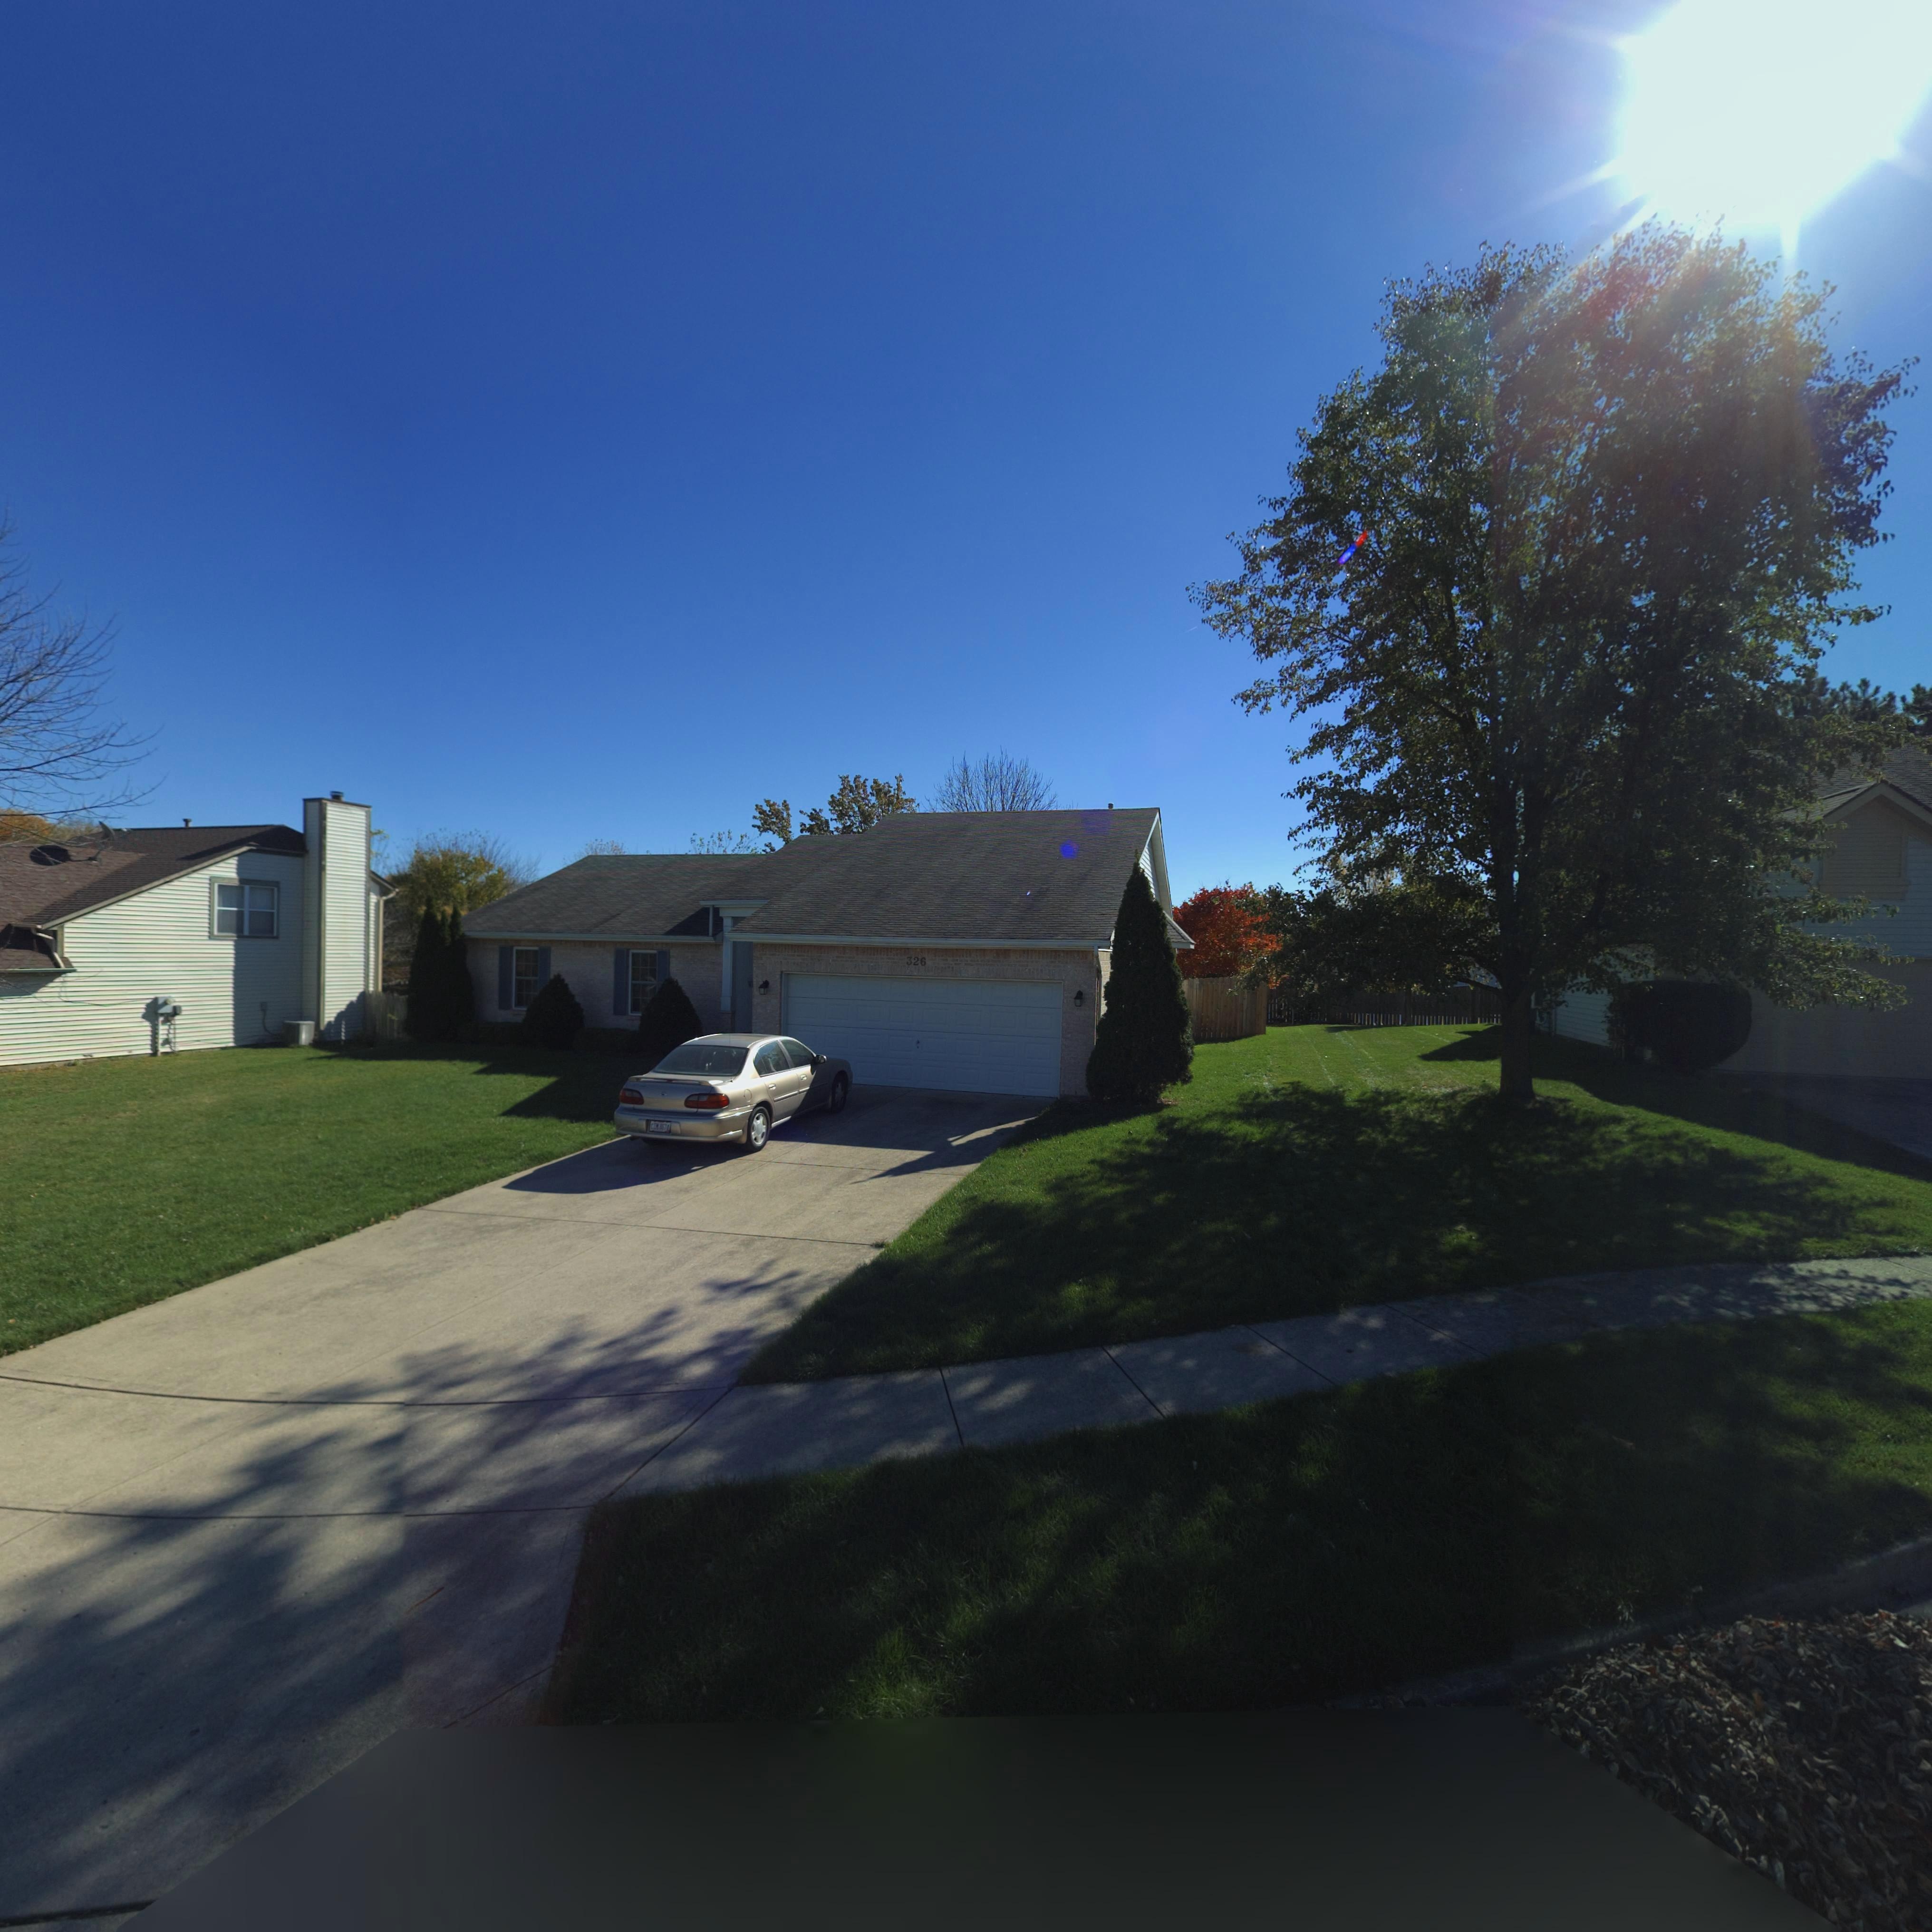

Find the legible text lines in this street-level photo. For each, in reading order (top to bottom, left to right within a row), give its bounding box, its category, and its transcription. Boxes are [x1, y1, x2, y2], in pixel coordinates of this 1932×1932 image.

[906, 956, 927, 966] StreetNumber: 326